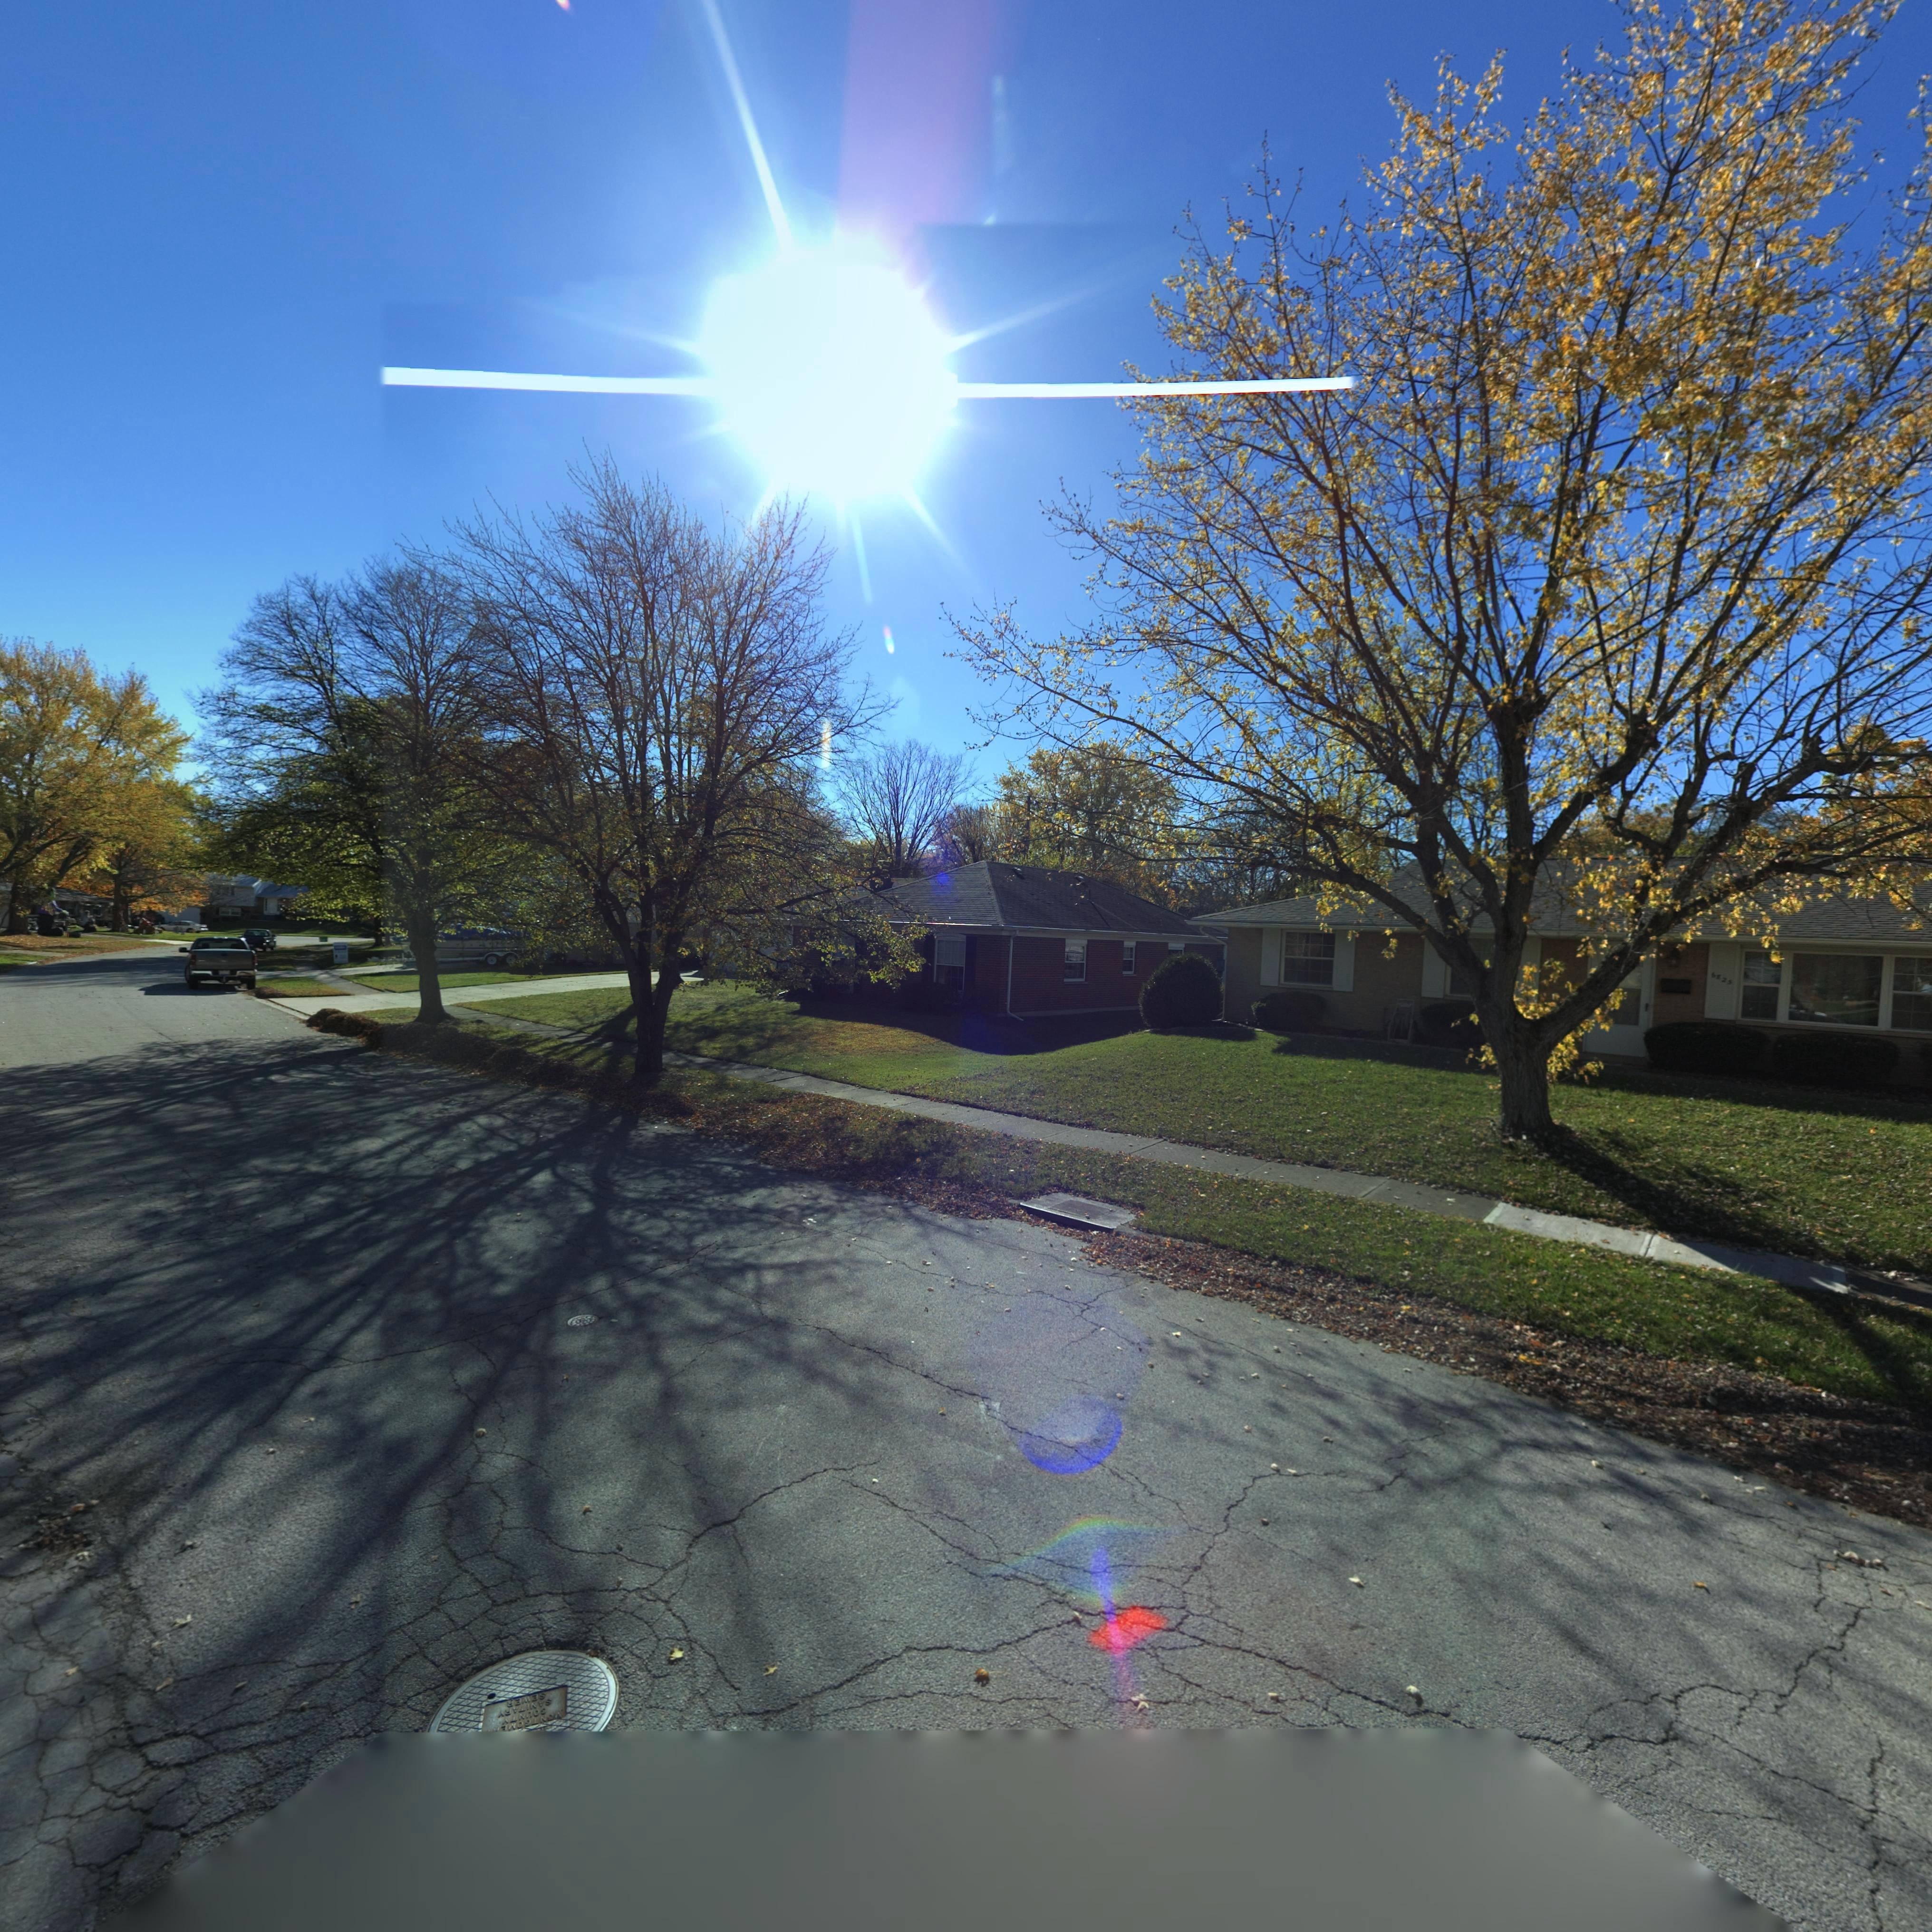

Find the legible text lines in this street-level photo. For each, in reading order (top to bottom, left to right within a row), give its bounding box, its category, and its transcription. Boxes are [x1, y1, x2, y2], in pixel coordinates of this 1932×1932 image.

[1711, 971, 1733, 985] StreetNumber: 6835